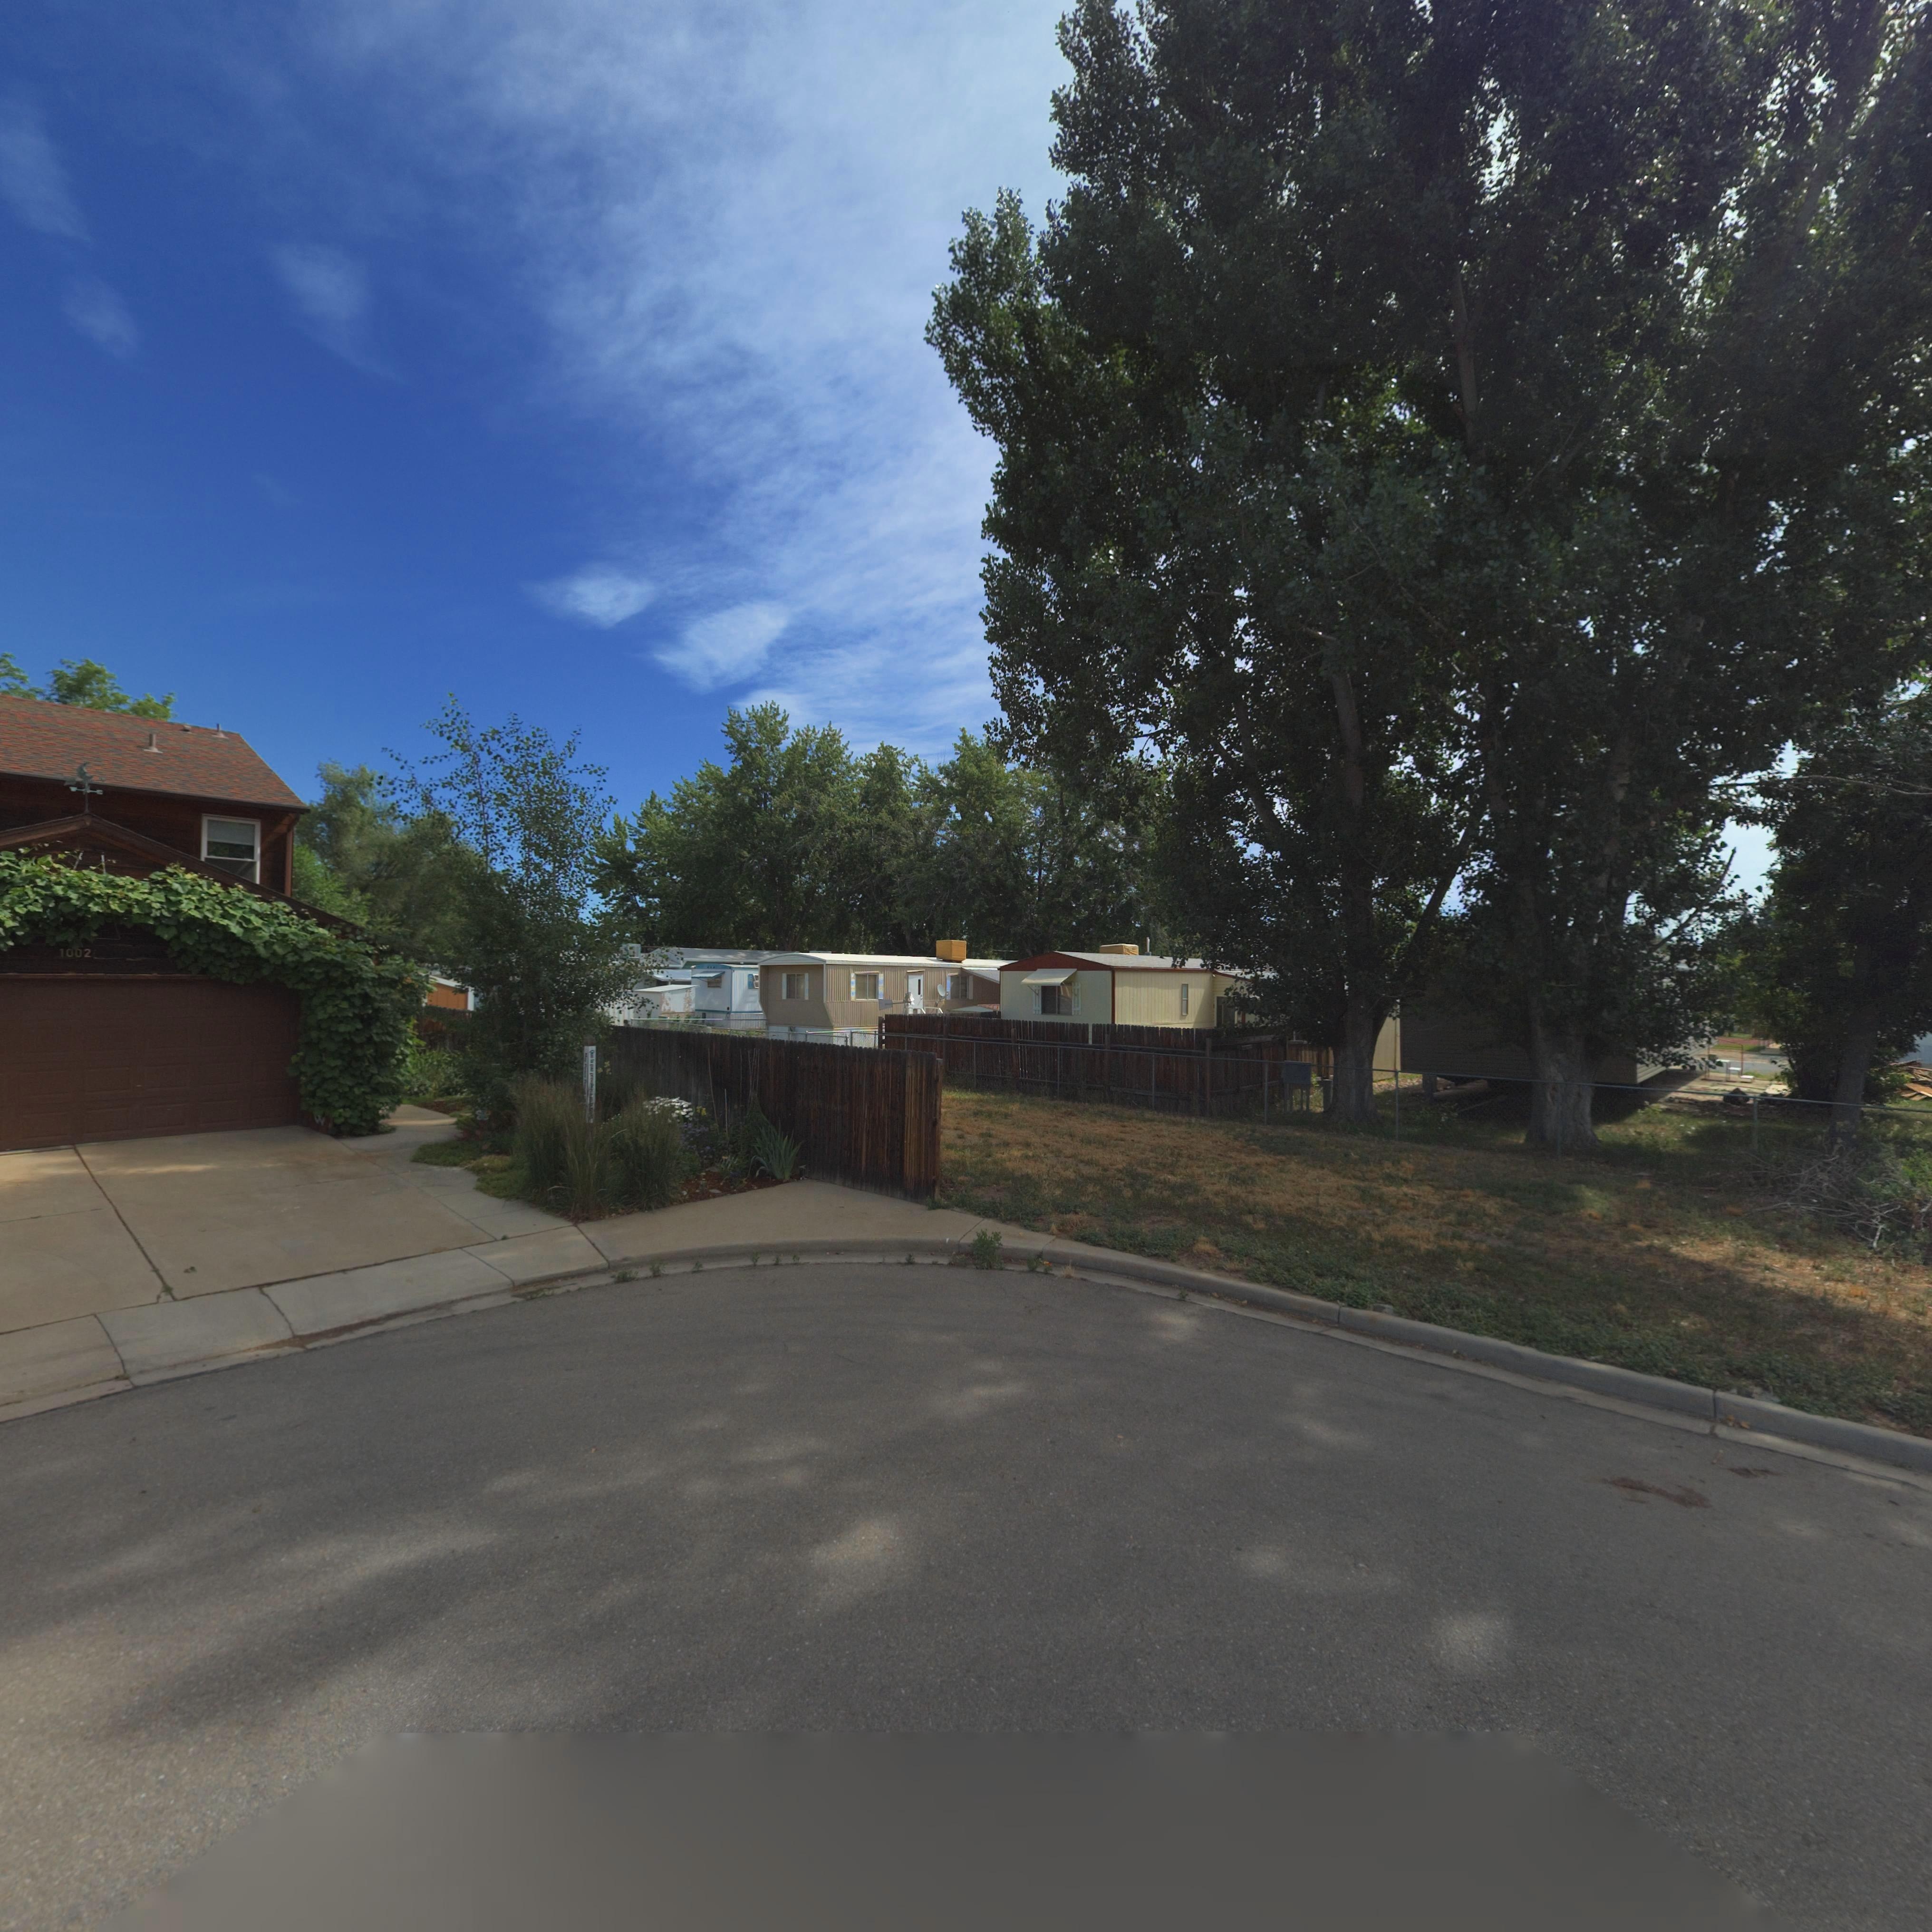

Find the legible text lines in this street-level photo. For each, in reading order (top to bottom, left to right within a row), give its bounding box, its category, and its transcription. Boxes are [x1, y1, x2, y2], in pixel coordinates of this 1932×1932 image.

[59, 948, 91, 958] StreetNumber: 1002